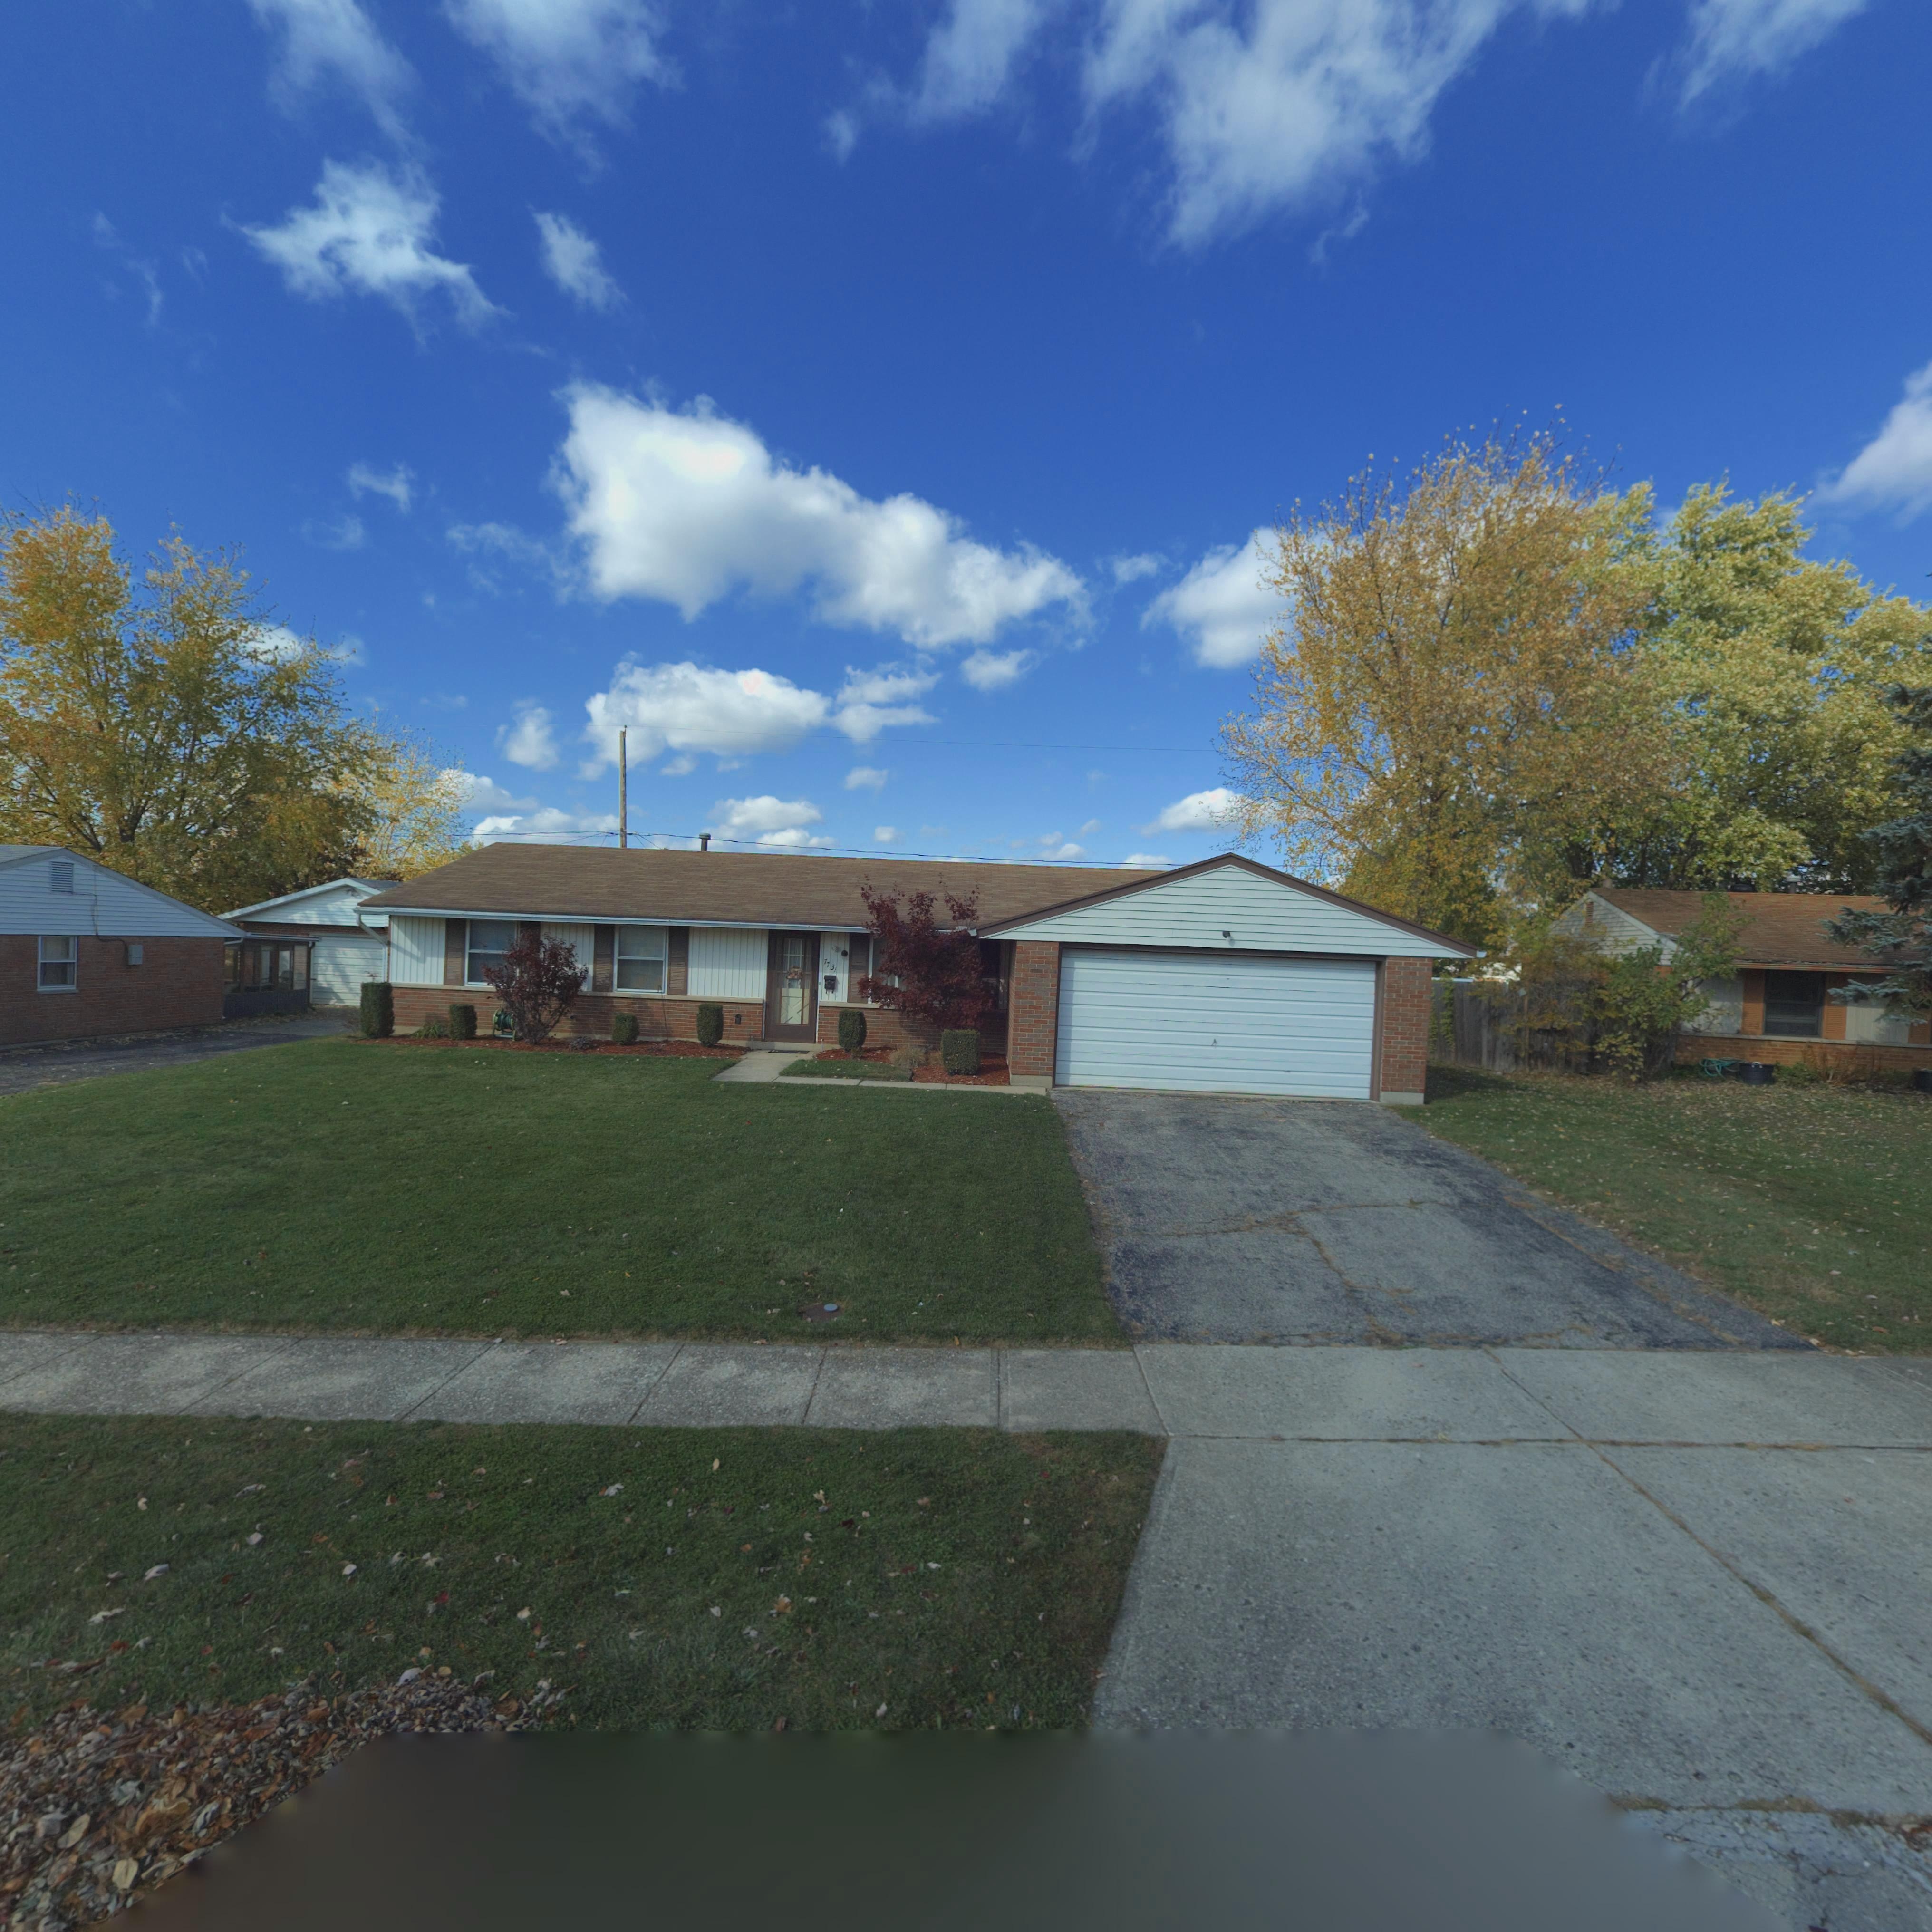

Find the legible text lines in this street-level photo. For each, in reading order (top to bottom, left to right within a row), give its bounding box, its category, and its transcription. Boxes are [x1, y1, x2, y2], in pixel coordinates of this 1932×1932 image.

[823, 957, 838, 974] StreetNumber: 7731